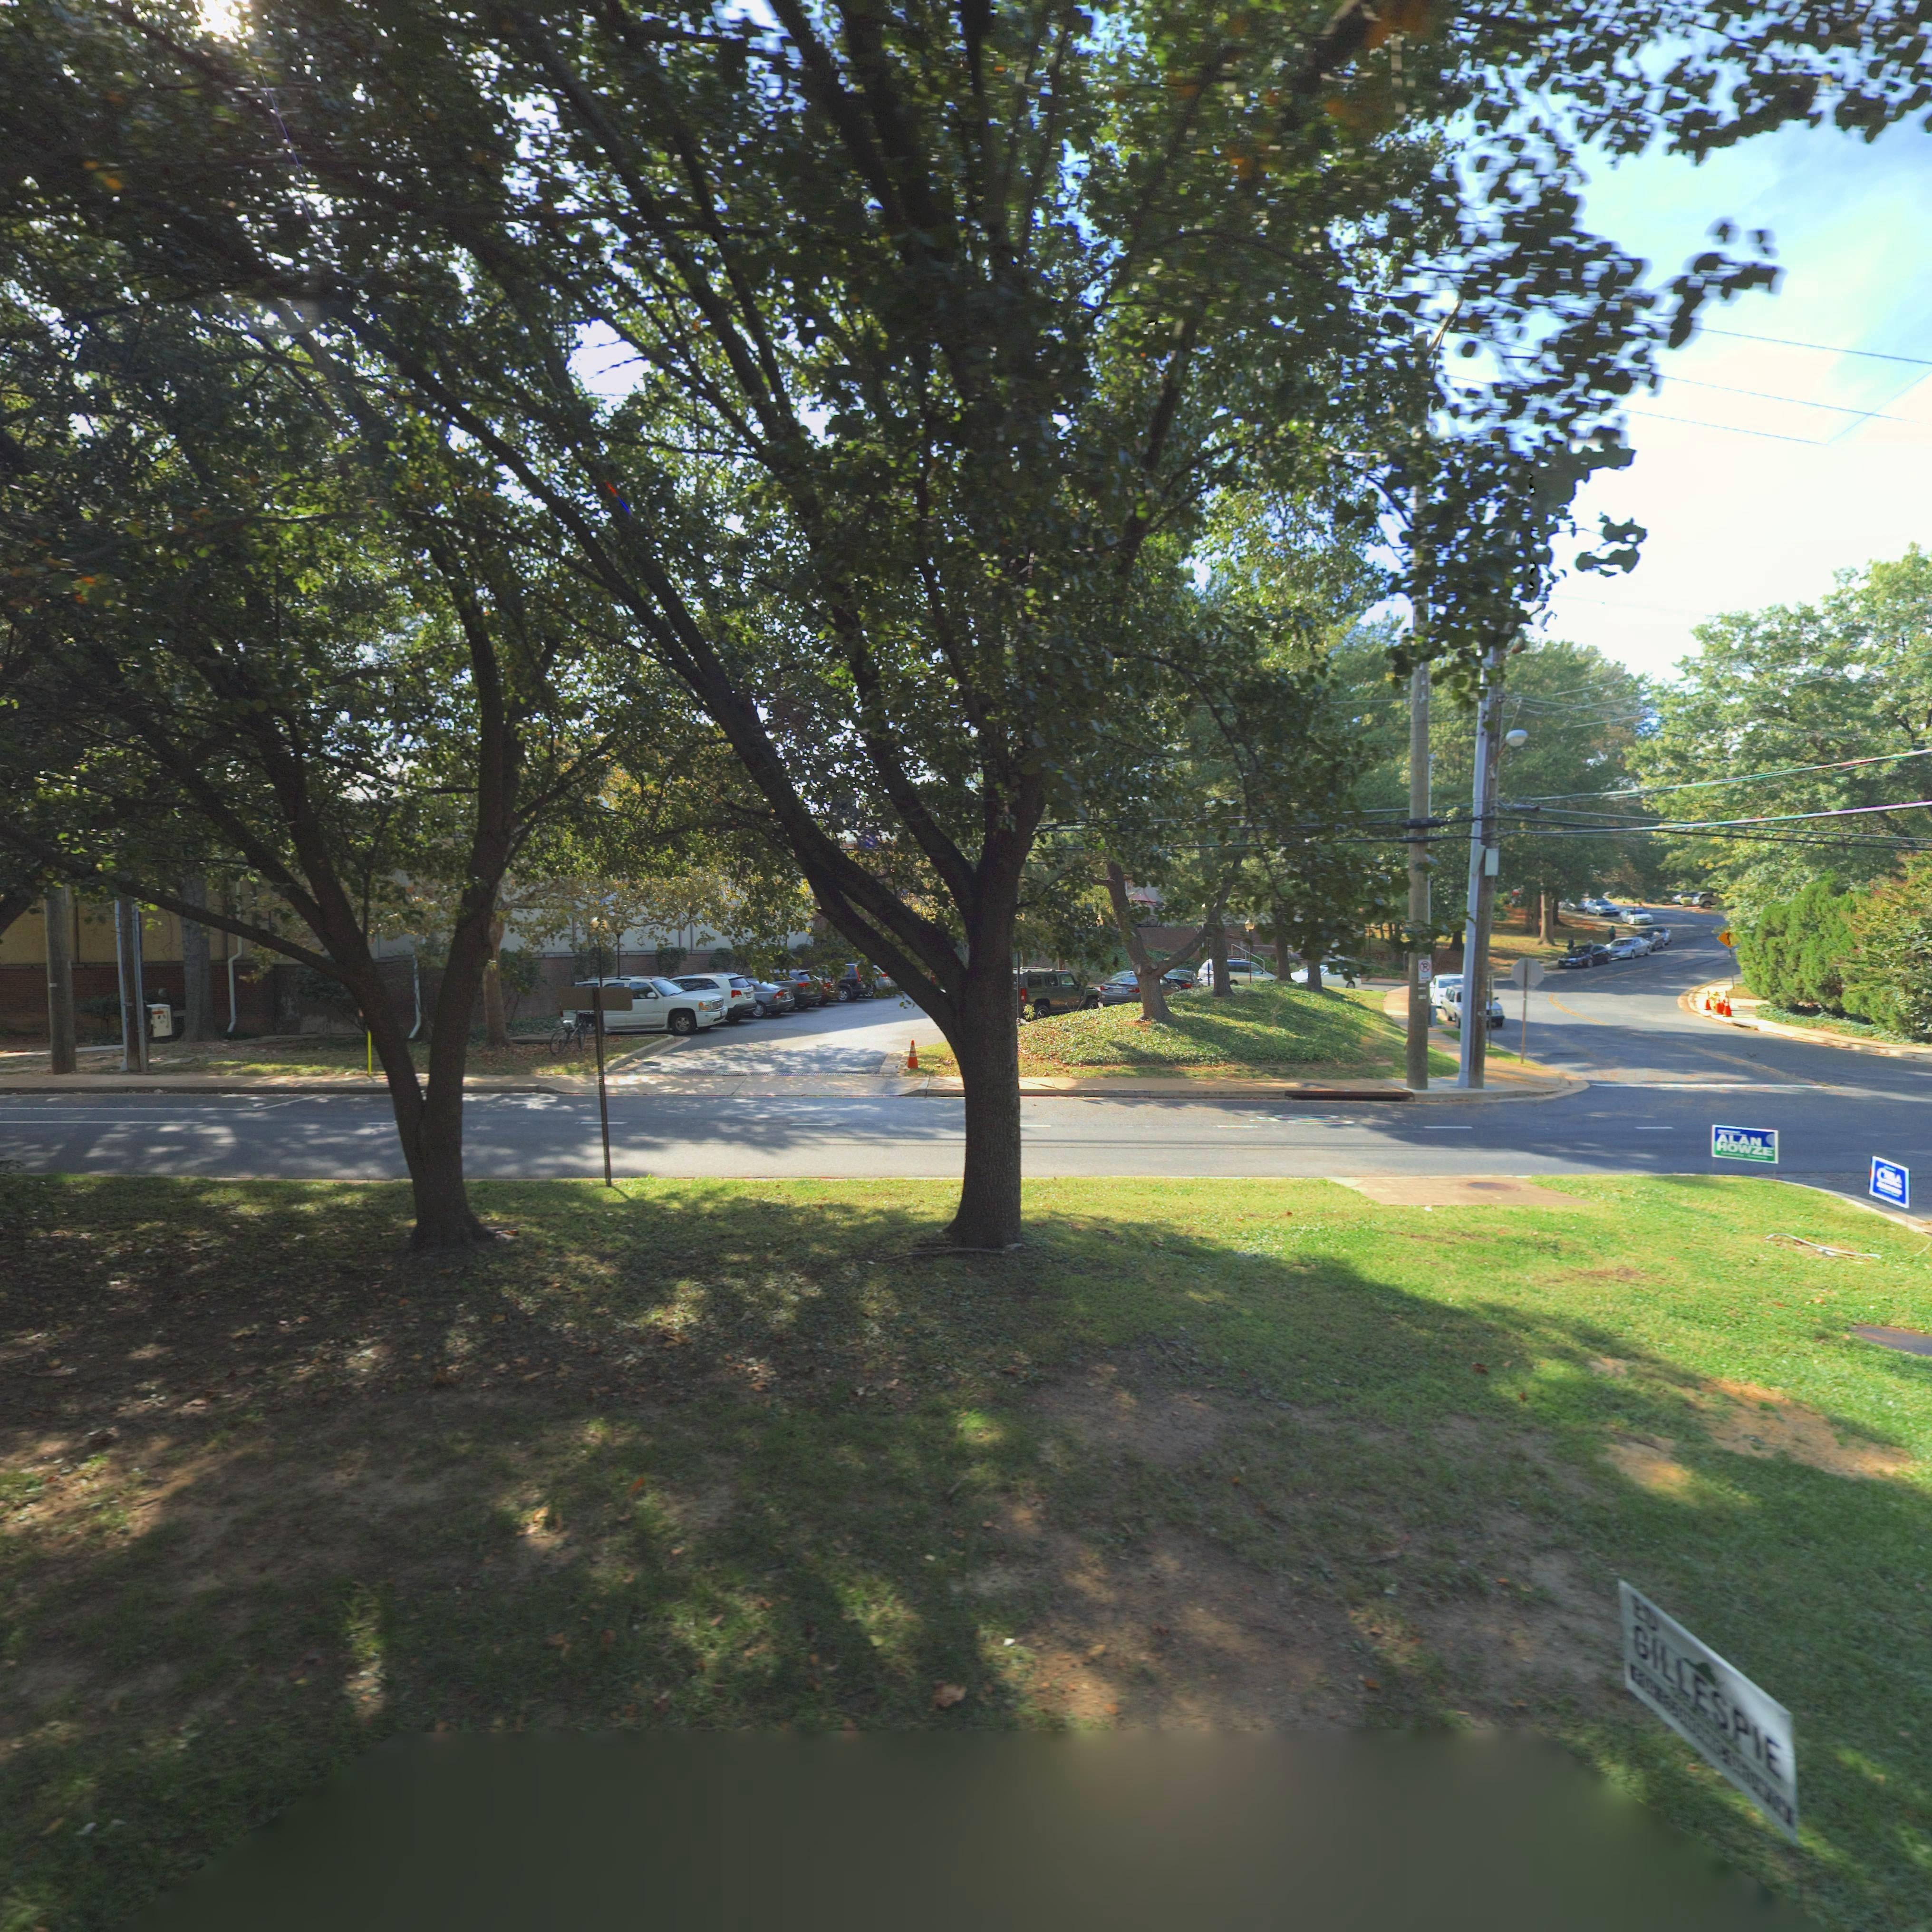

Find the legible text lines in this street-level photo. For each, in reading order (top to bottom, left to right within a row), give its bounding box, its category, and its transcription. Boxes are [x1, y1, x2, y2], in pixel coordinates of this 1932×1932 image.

[1716, 1134, 1762, 1147] None: ALAN
[1716, 1142, 1774, 1157] None: HOWZE
[1876, 1167, 1886, 1182] None: C
[1631, 1592, 1659, 1634] None: ED
[1633, 1621, 1785, 1783] None: GILLESPIE